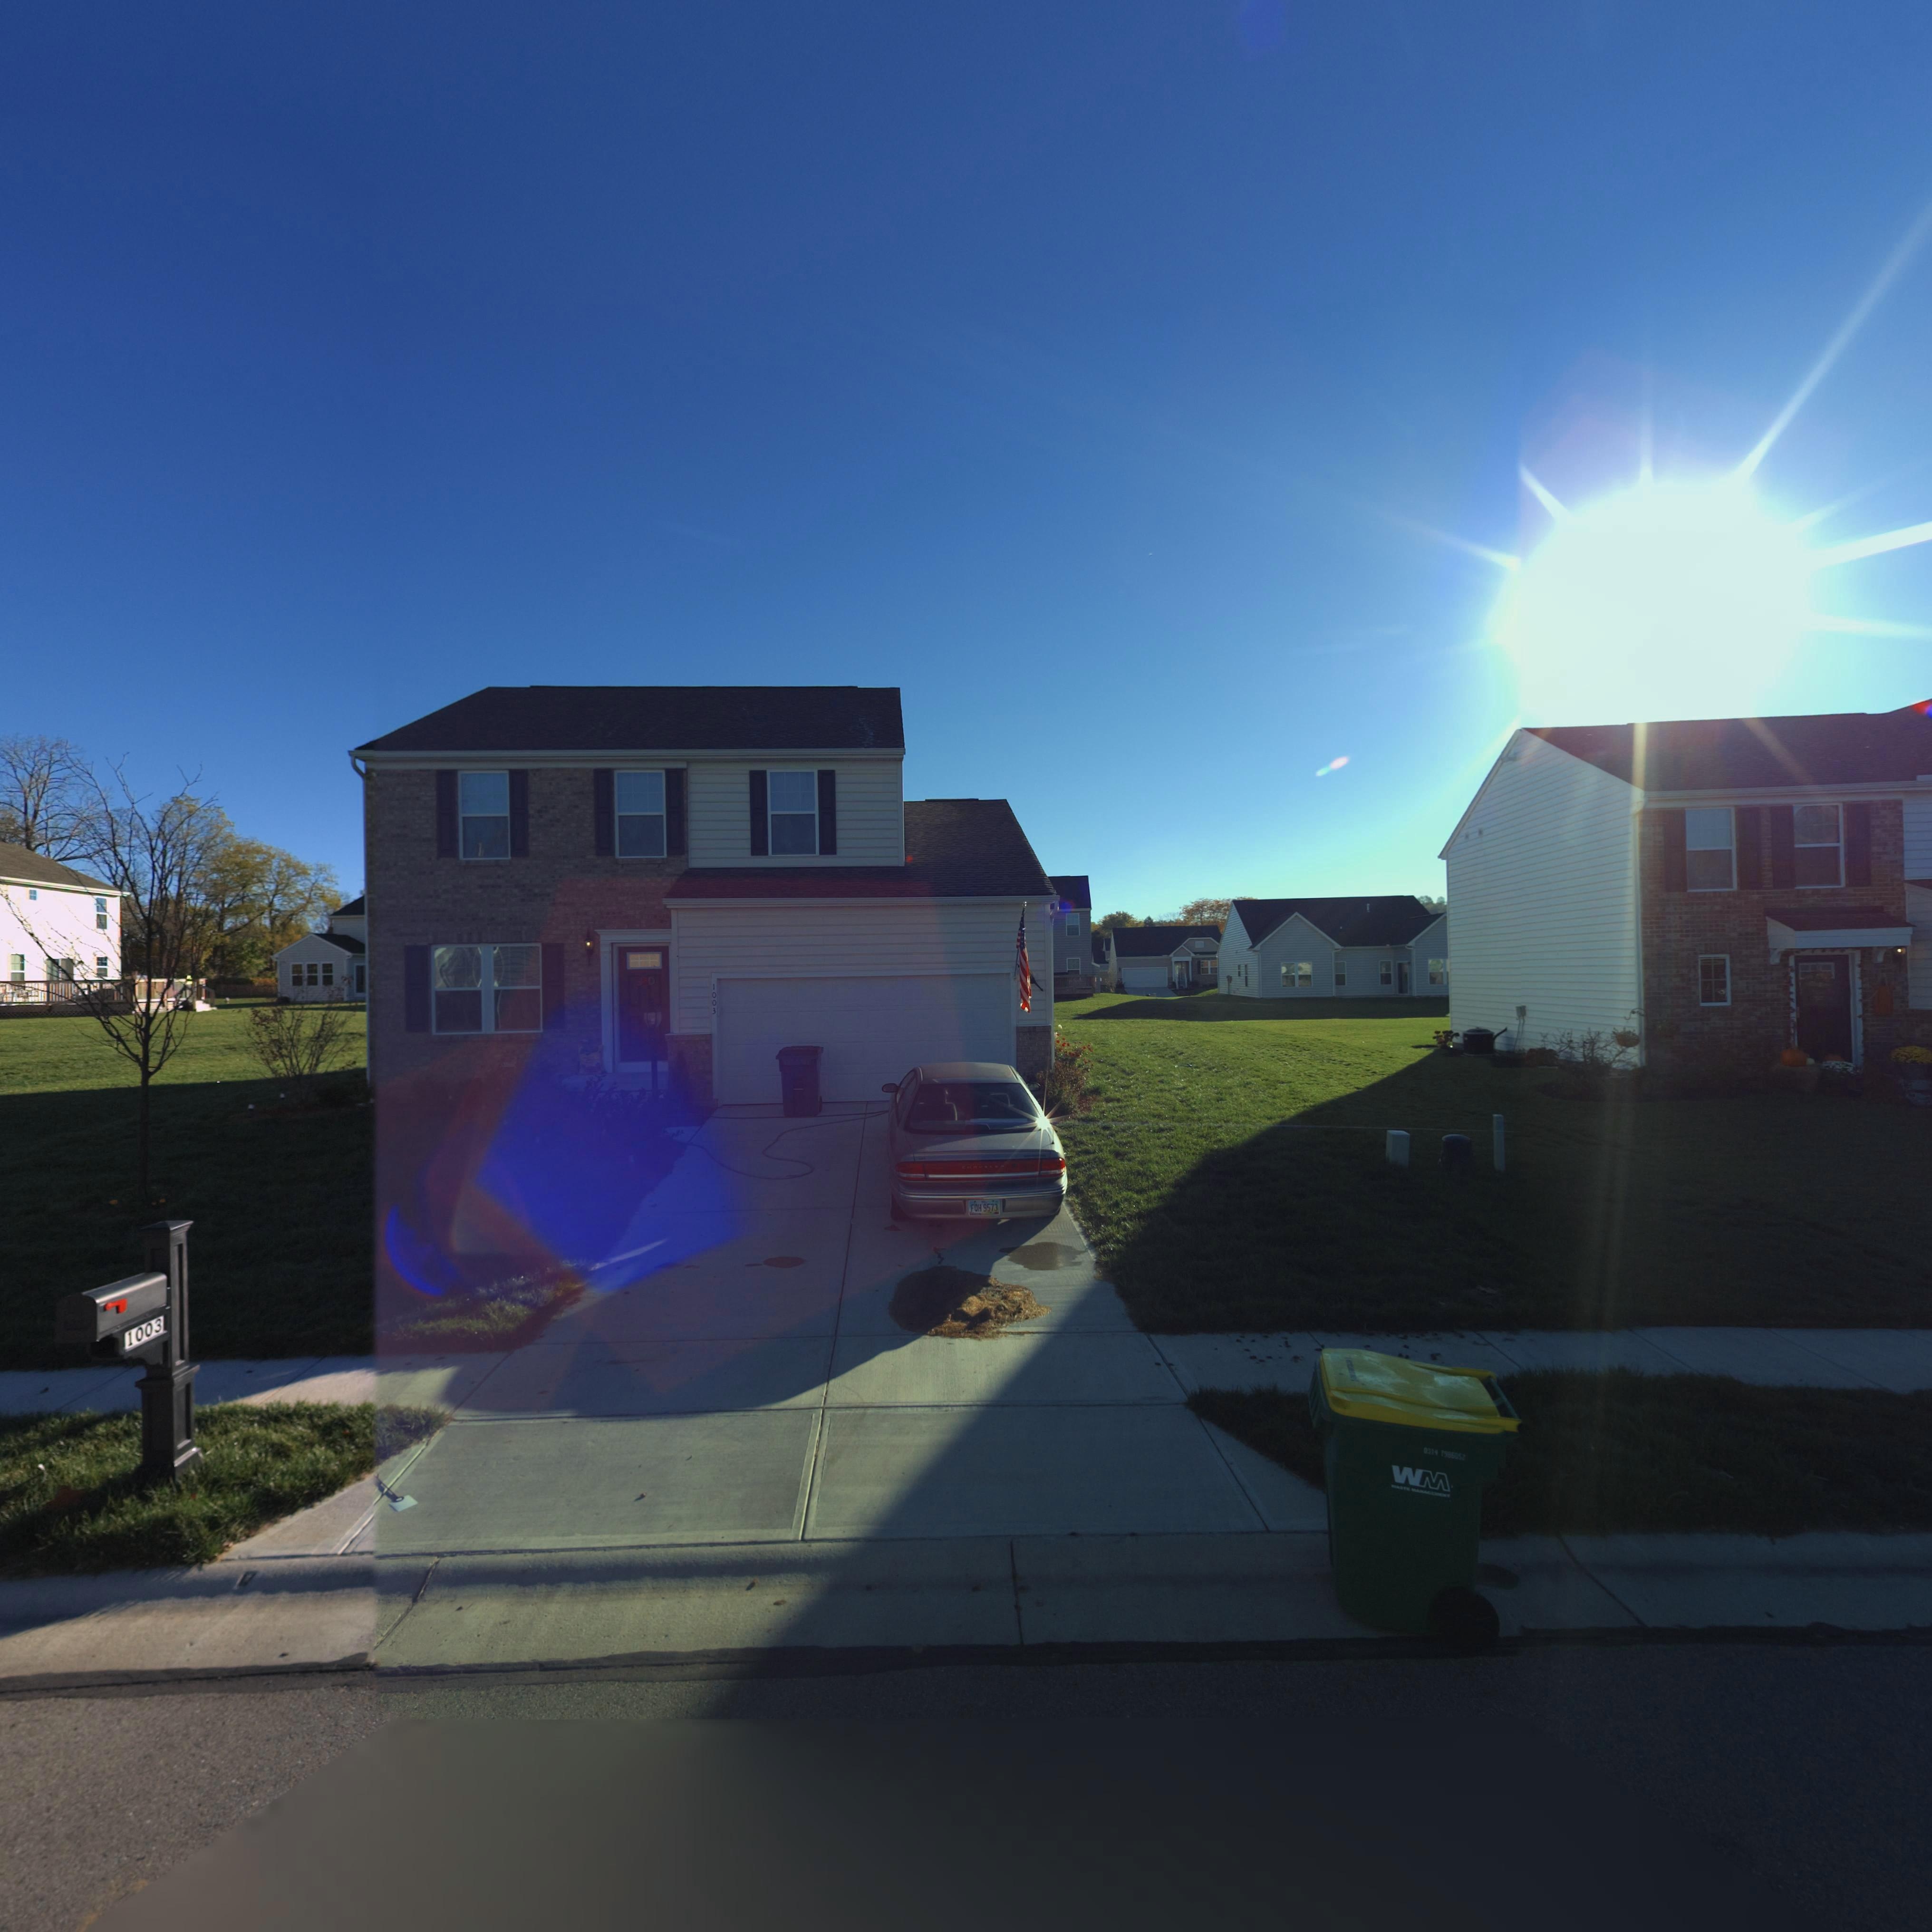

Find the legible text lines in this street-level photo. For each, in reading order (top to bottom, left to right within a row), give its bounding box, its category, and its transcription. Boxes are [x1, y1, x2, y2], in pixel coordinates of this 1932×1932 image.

[711, 982, 717, 1015] StreetNumber: 1003
[127, 1316, 163, 1349] StreetNumber: 1003